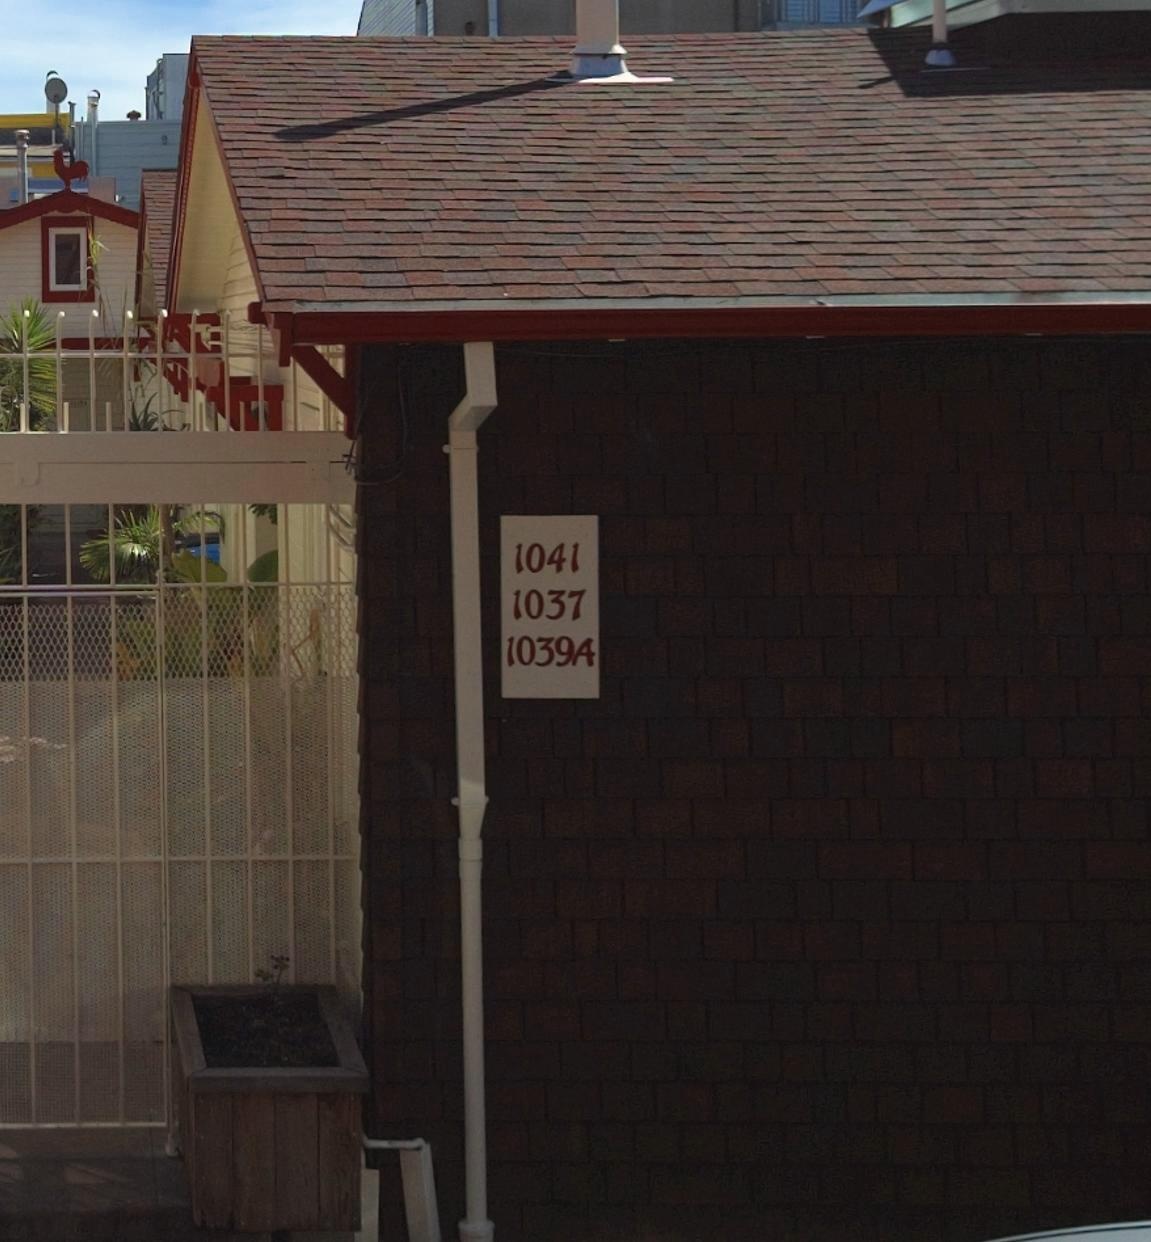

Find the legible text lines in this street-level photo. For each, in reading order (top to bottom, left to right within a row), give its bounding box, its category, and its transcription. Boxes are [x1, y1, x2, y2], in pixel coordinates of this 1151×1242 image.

[510, 539, 585, 578] StreetNumber: 1041
[510, 583, 592, 625] StreetNumber: 1037
[504, 633, 599, 672] StreetNumber: 1039A